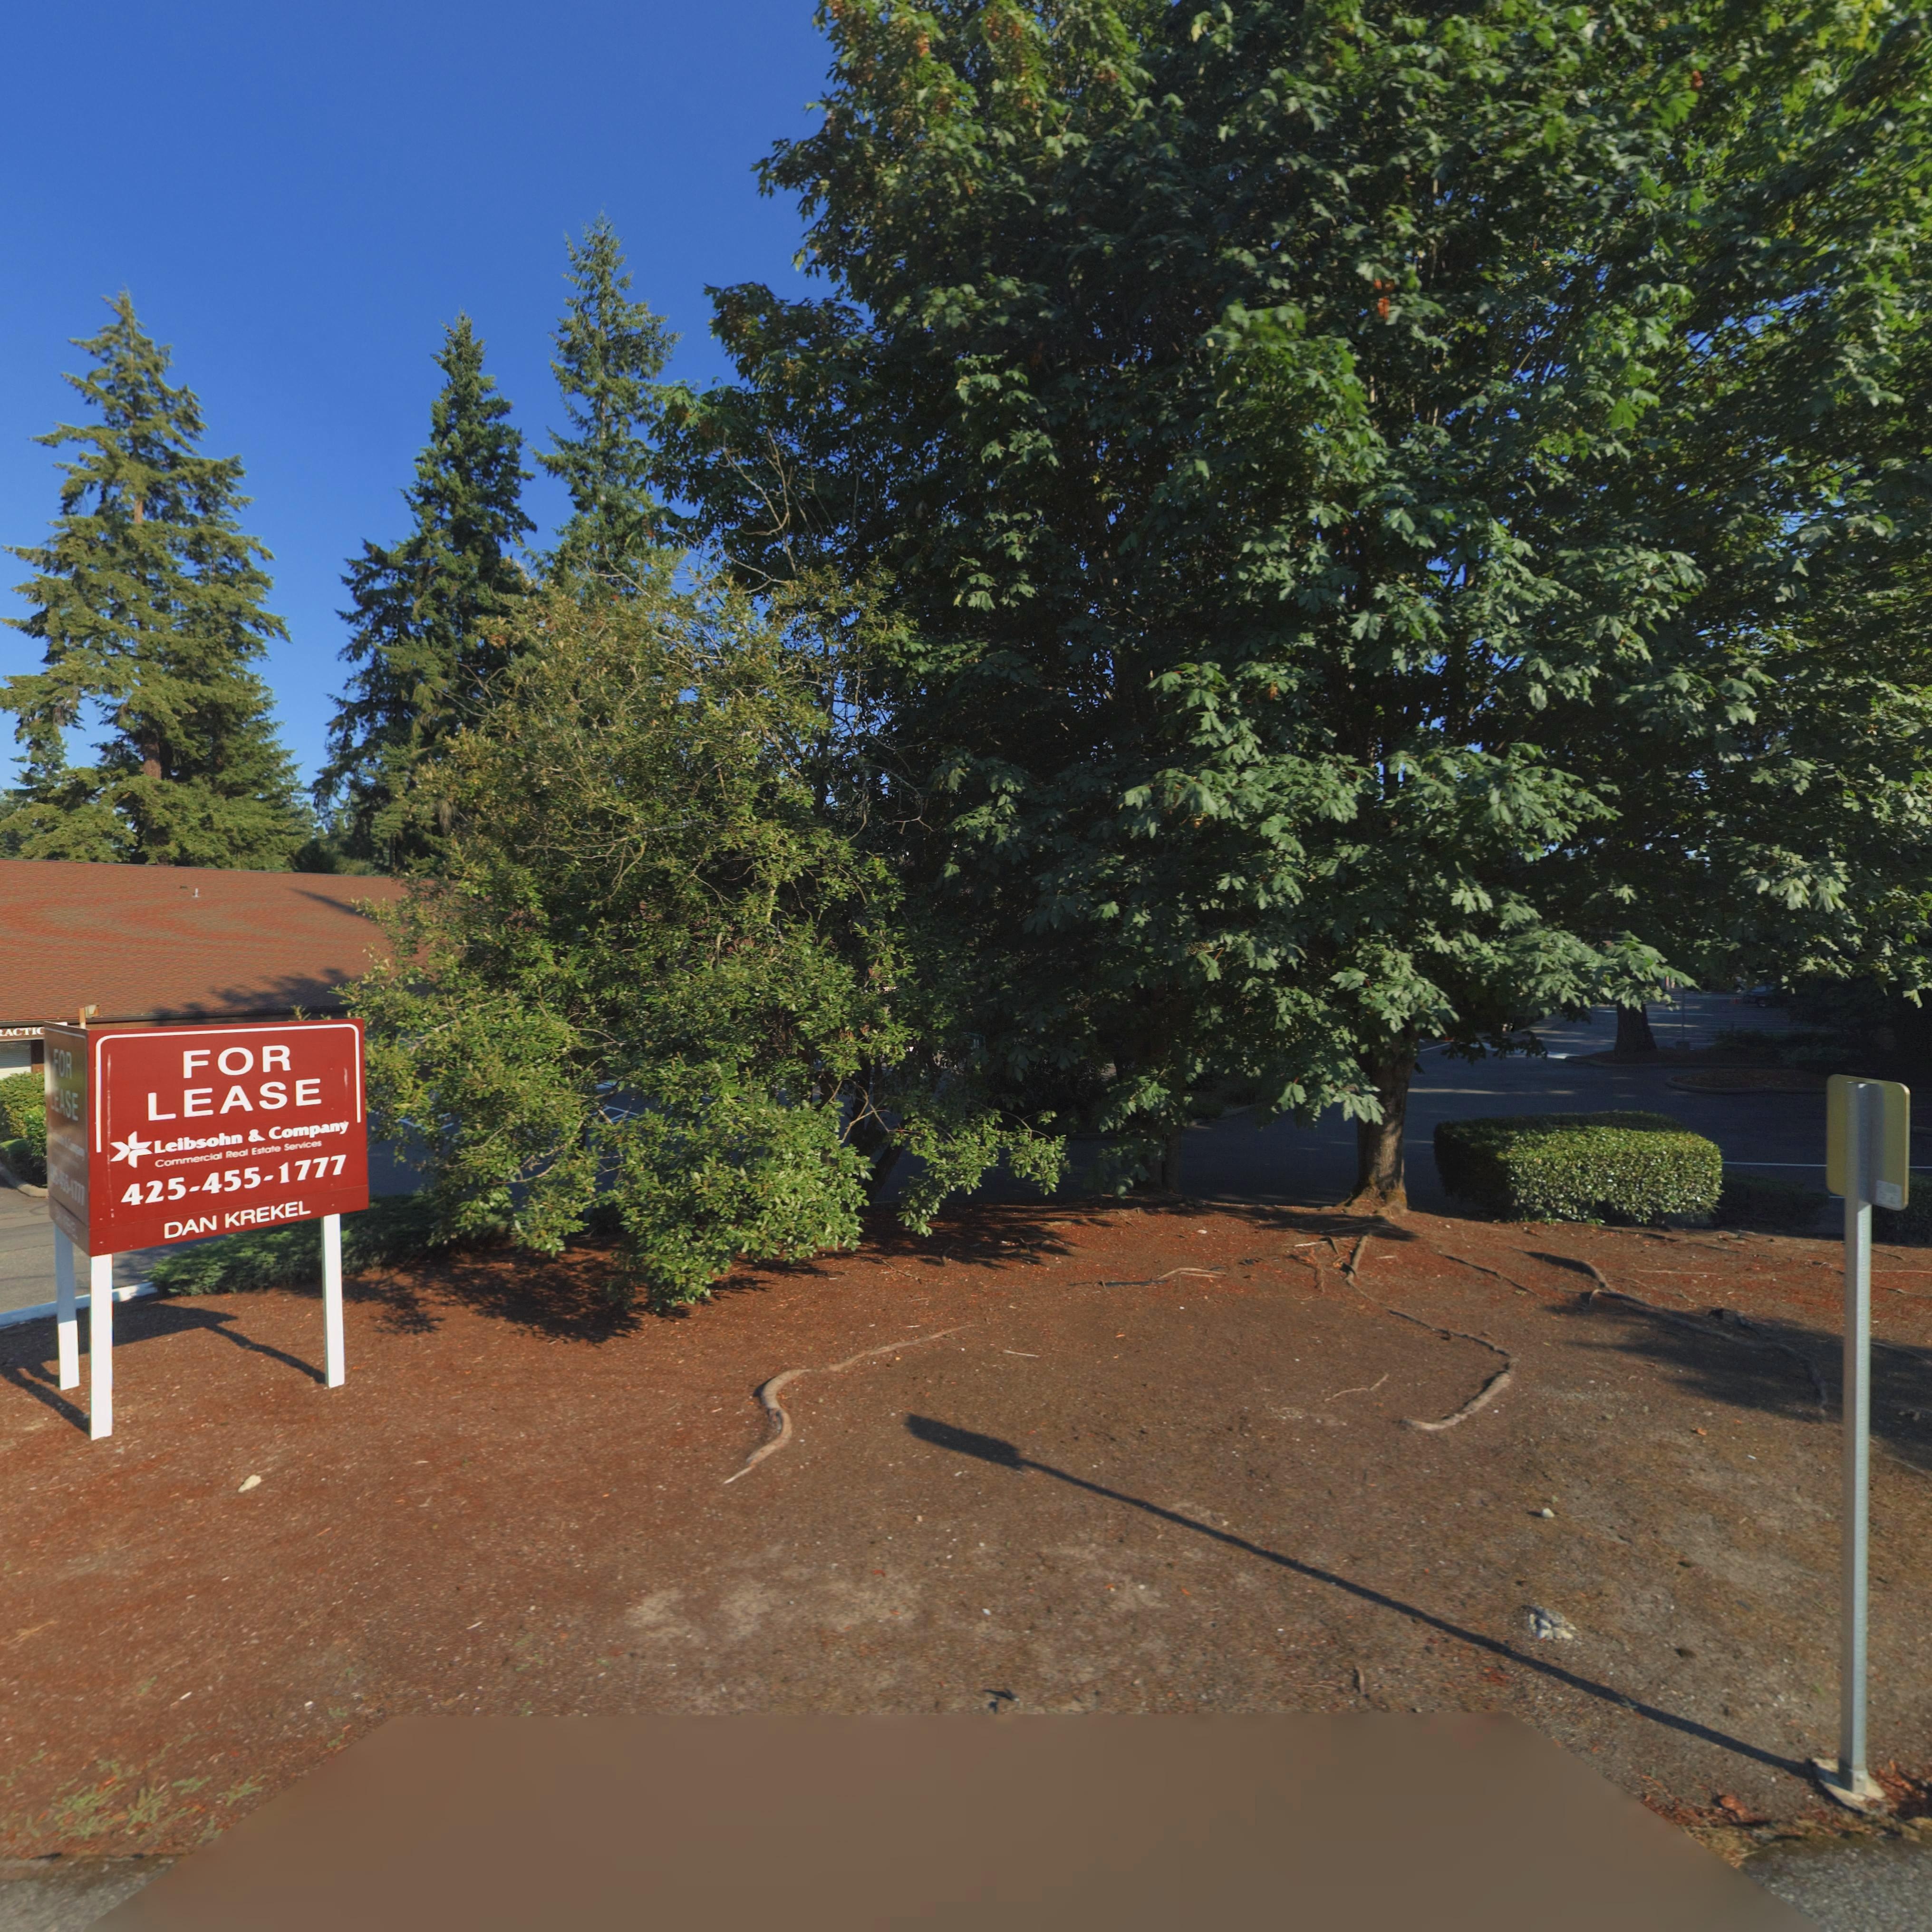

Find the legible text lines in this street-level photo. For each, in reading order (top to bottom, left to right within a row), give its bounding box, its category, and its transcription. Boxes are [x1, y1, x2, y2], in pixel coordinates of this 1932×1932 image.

[4, 1026, 45, 1036] BusinessName: ACTIC